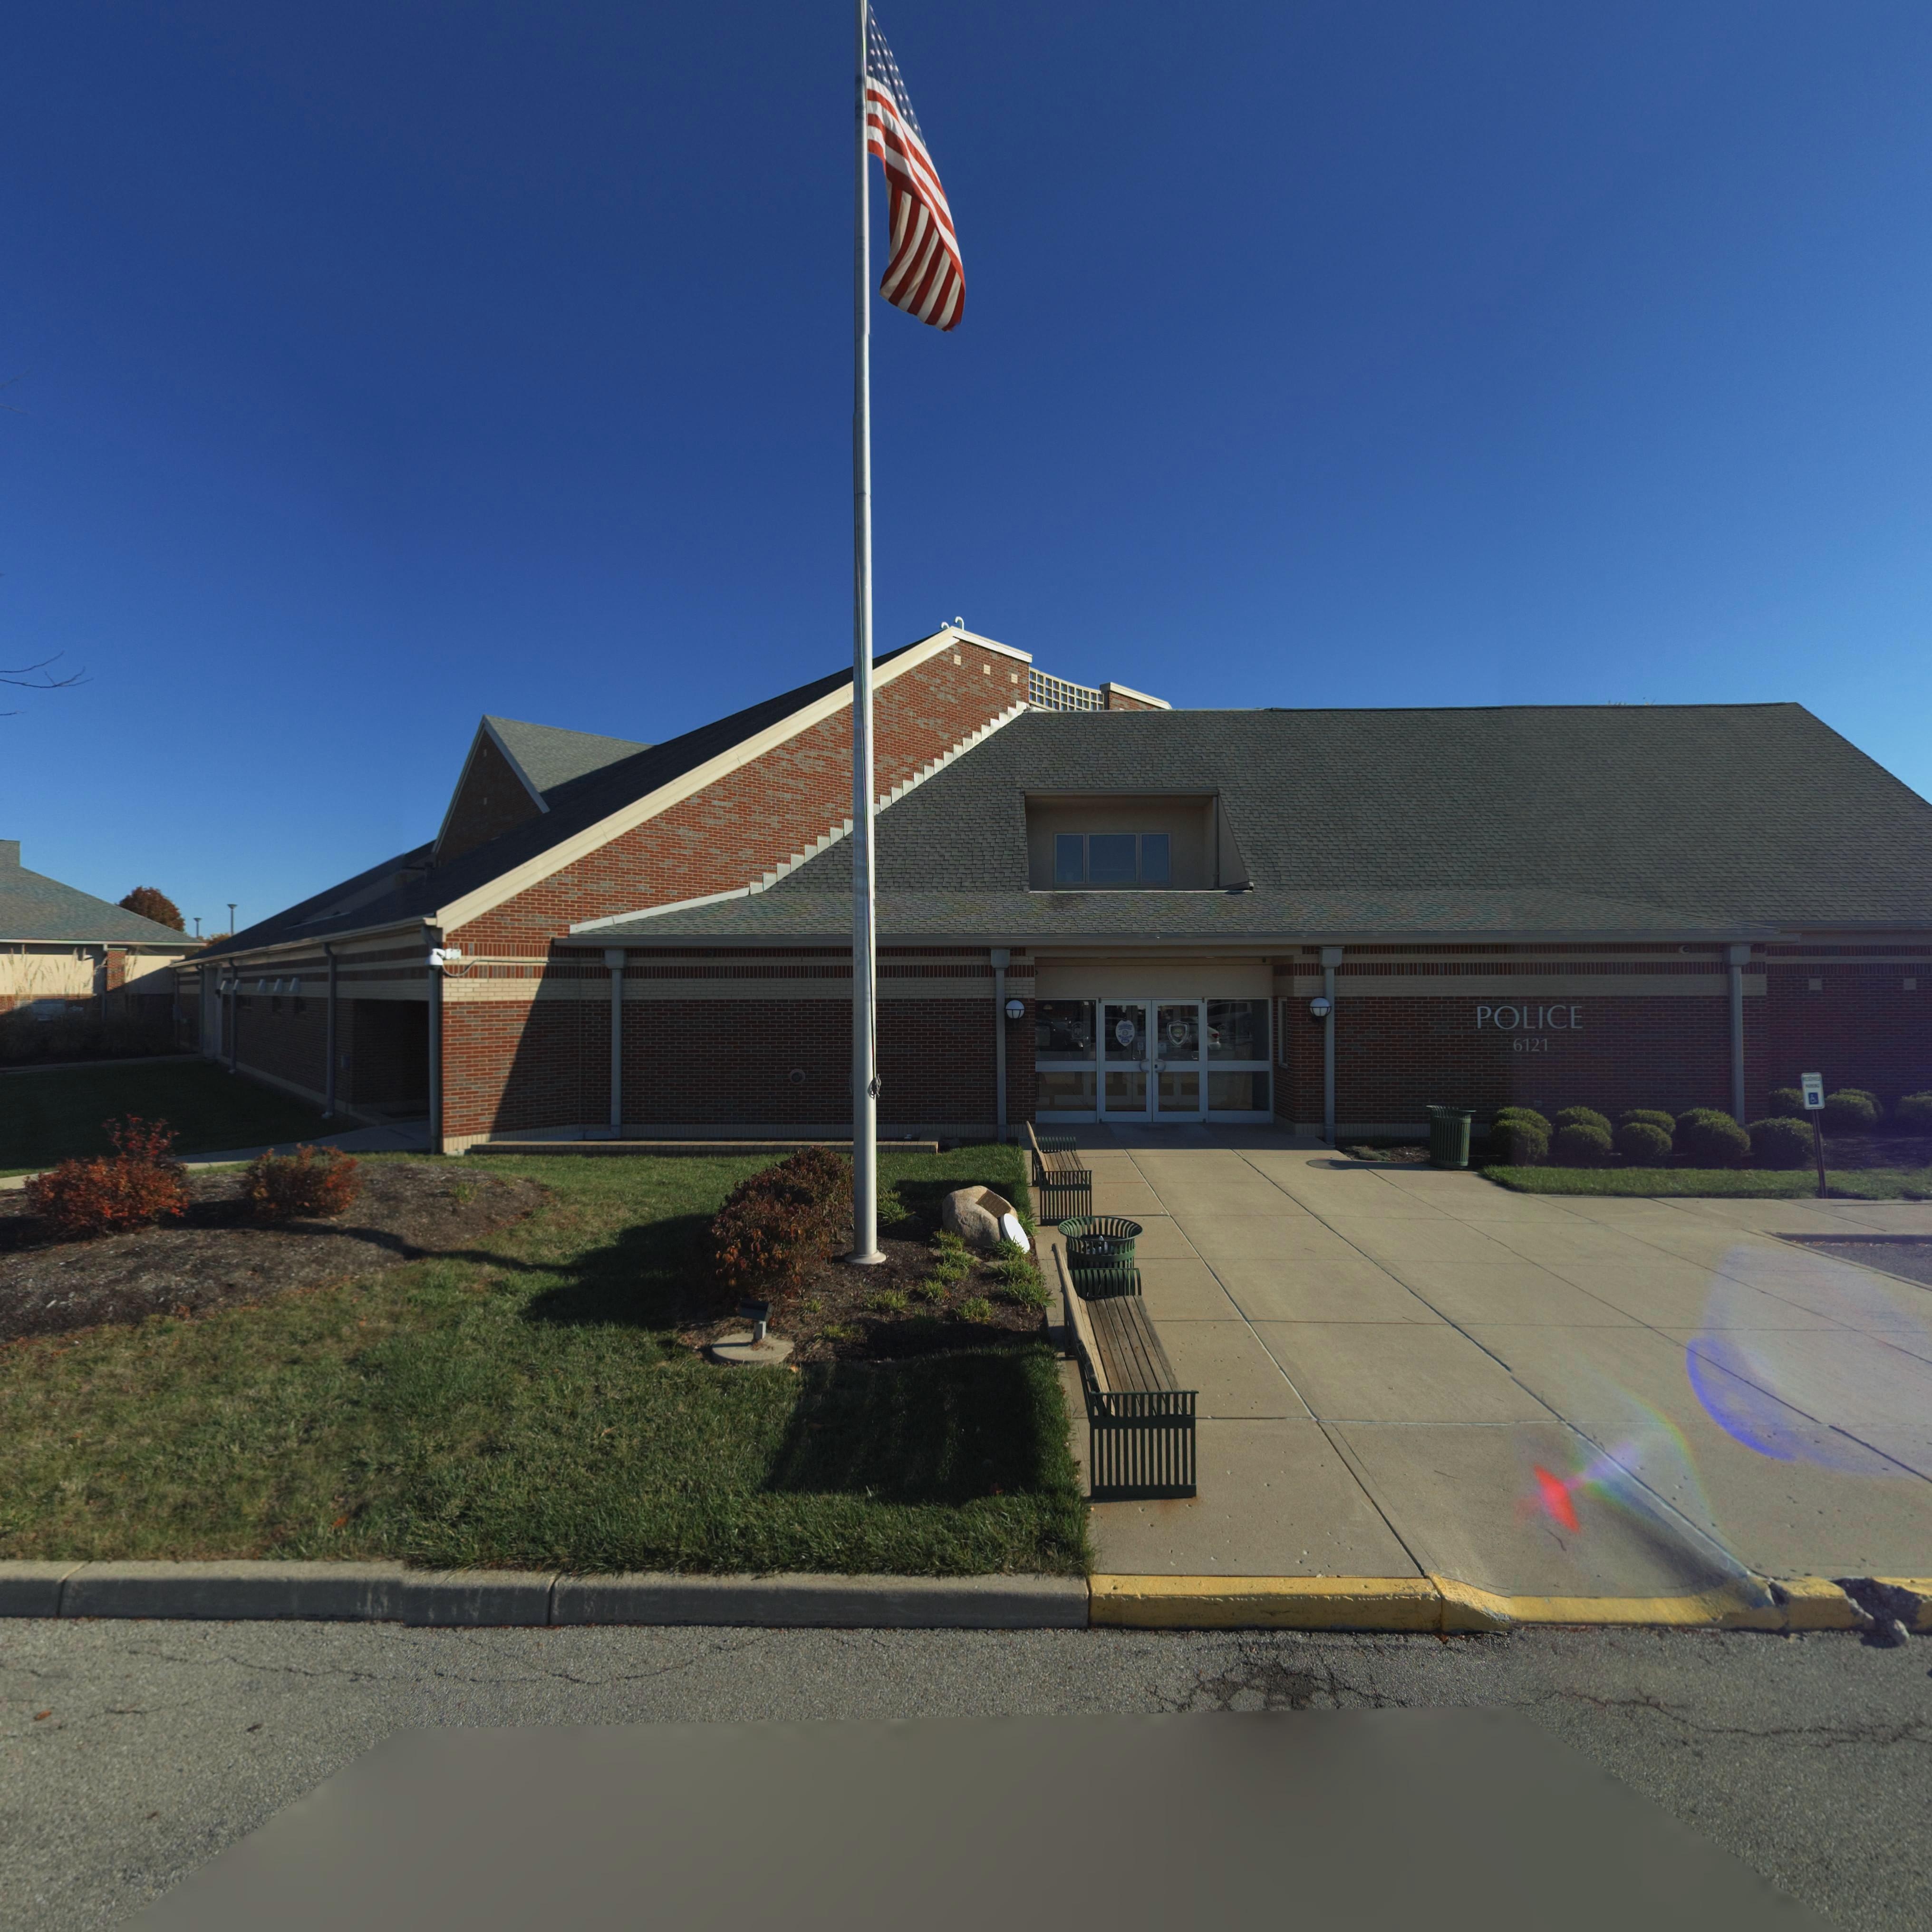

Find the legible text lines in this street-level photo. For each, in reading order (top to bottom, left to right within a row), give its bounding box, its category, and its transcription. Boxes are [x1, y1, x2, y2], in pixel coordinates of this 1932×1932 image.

[1513, 1038, 1548, 1053] StreetNumber: 6121